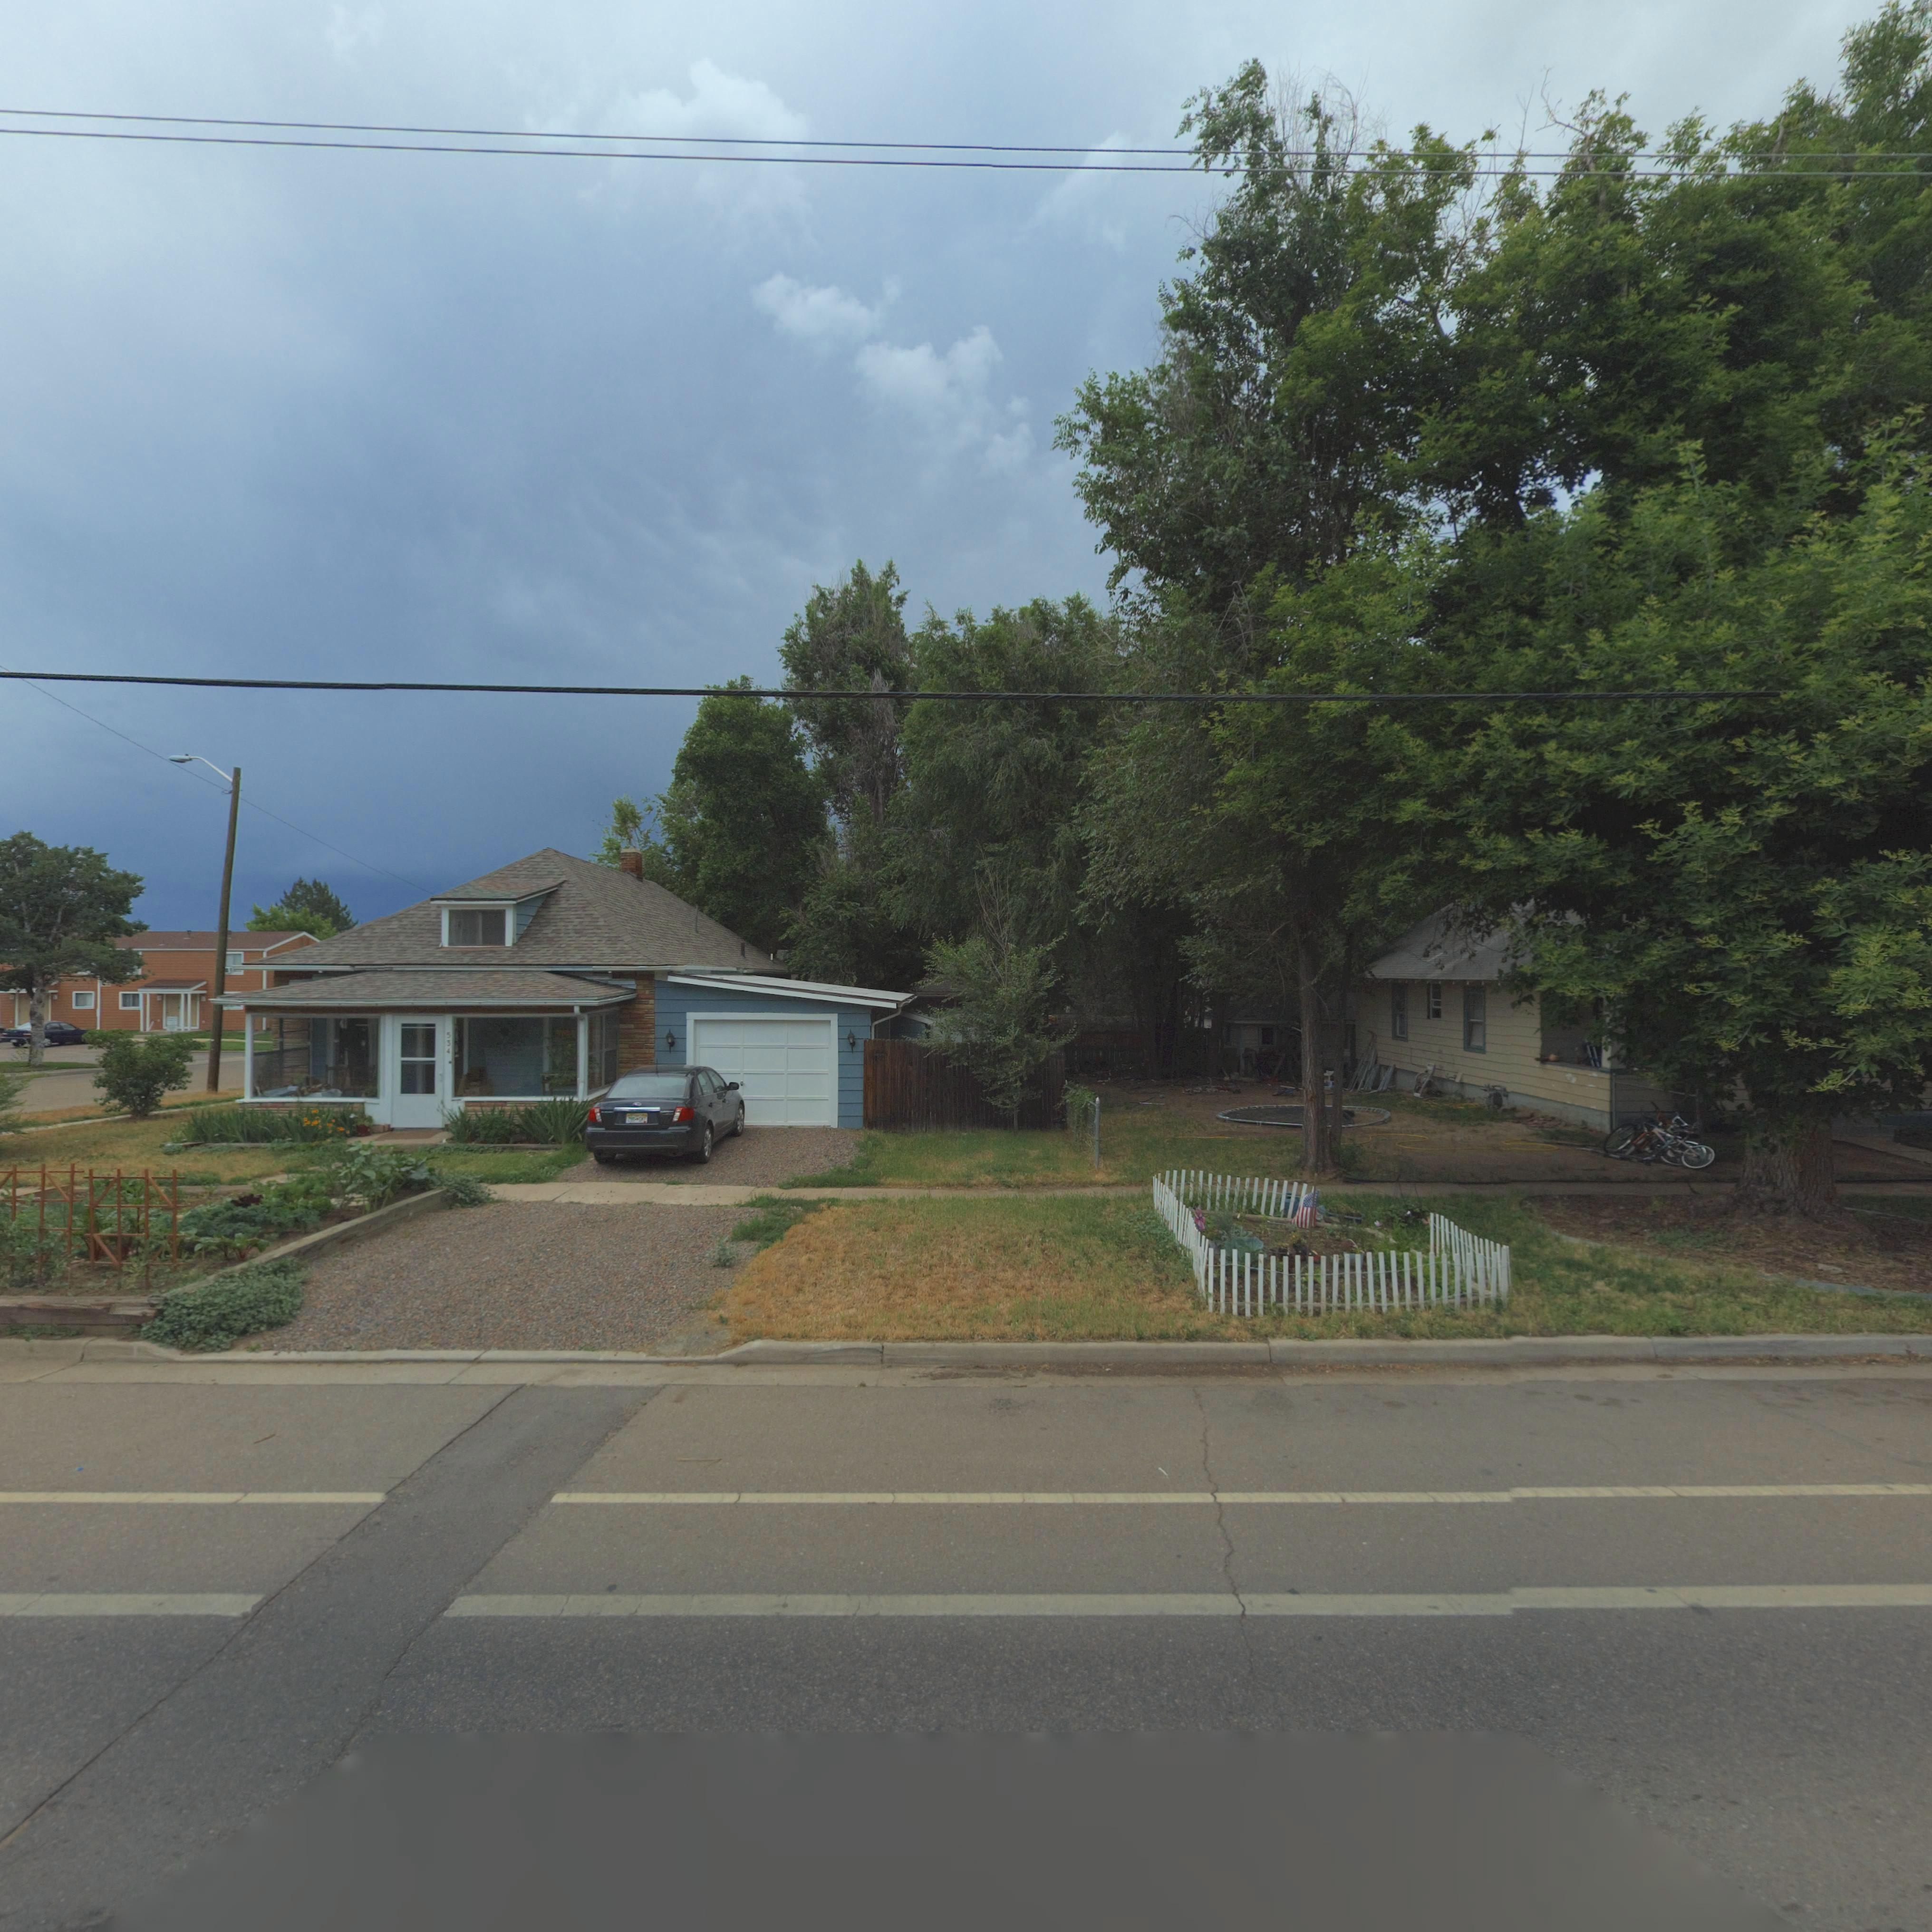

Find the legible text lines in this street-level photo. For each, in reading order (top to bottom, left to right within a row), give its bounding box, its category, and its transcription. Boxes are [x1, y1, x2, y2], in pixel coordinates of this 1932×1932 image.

[446, 1032, 451, 1053] StreetNumber: 534